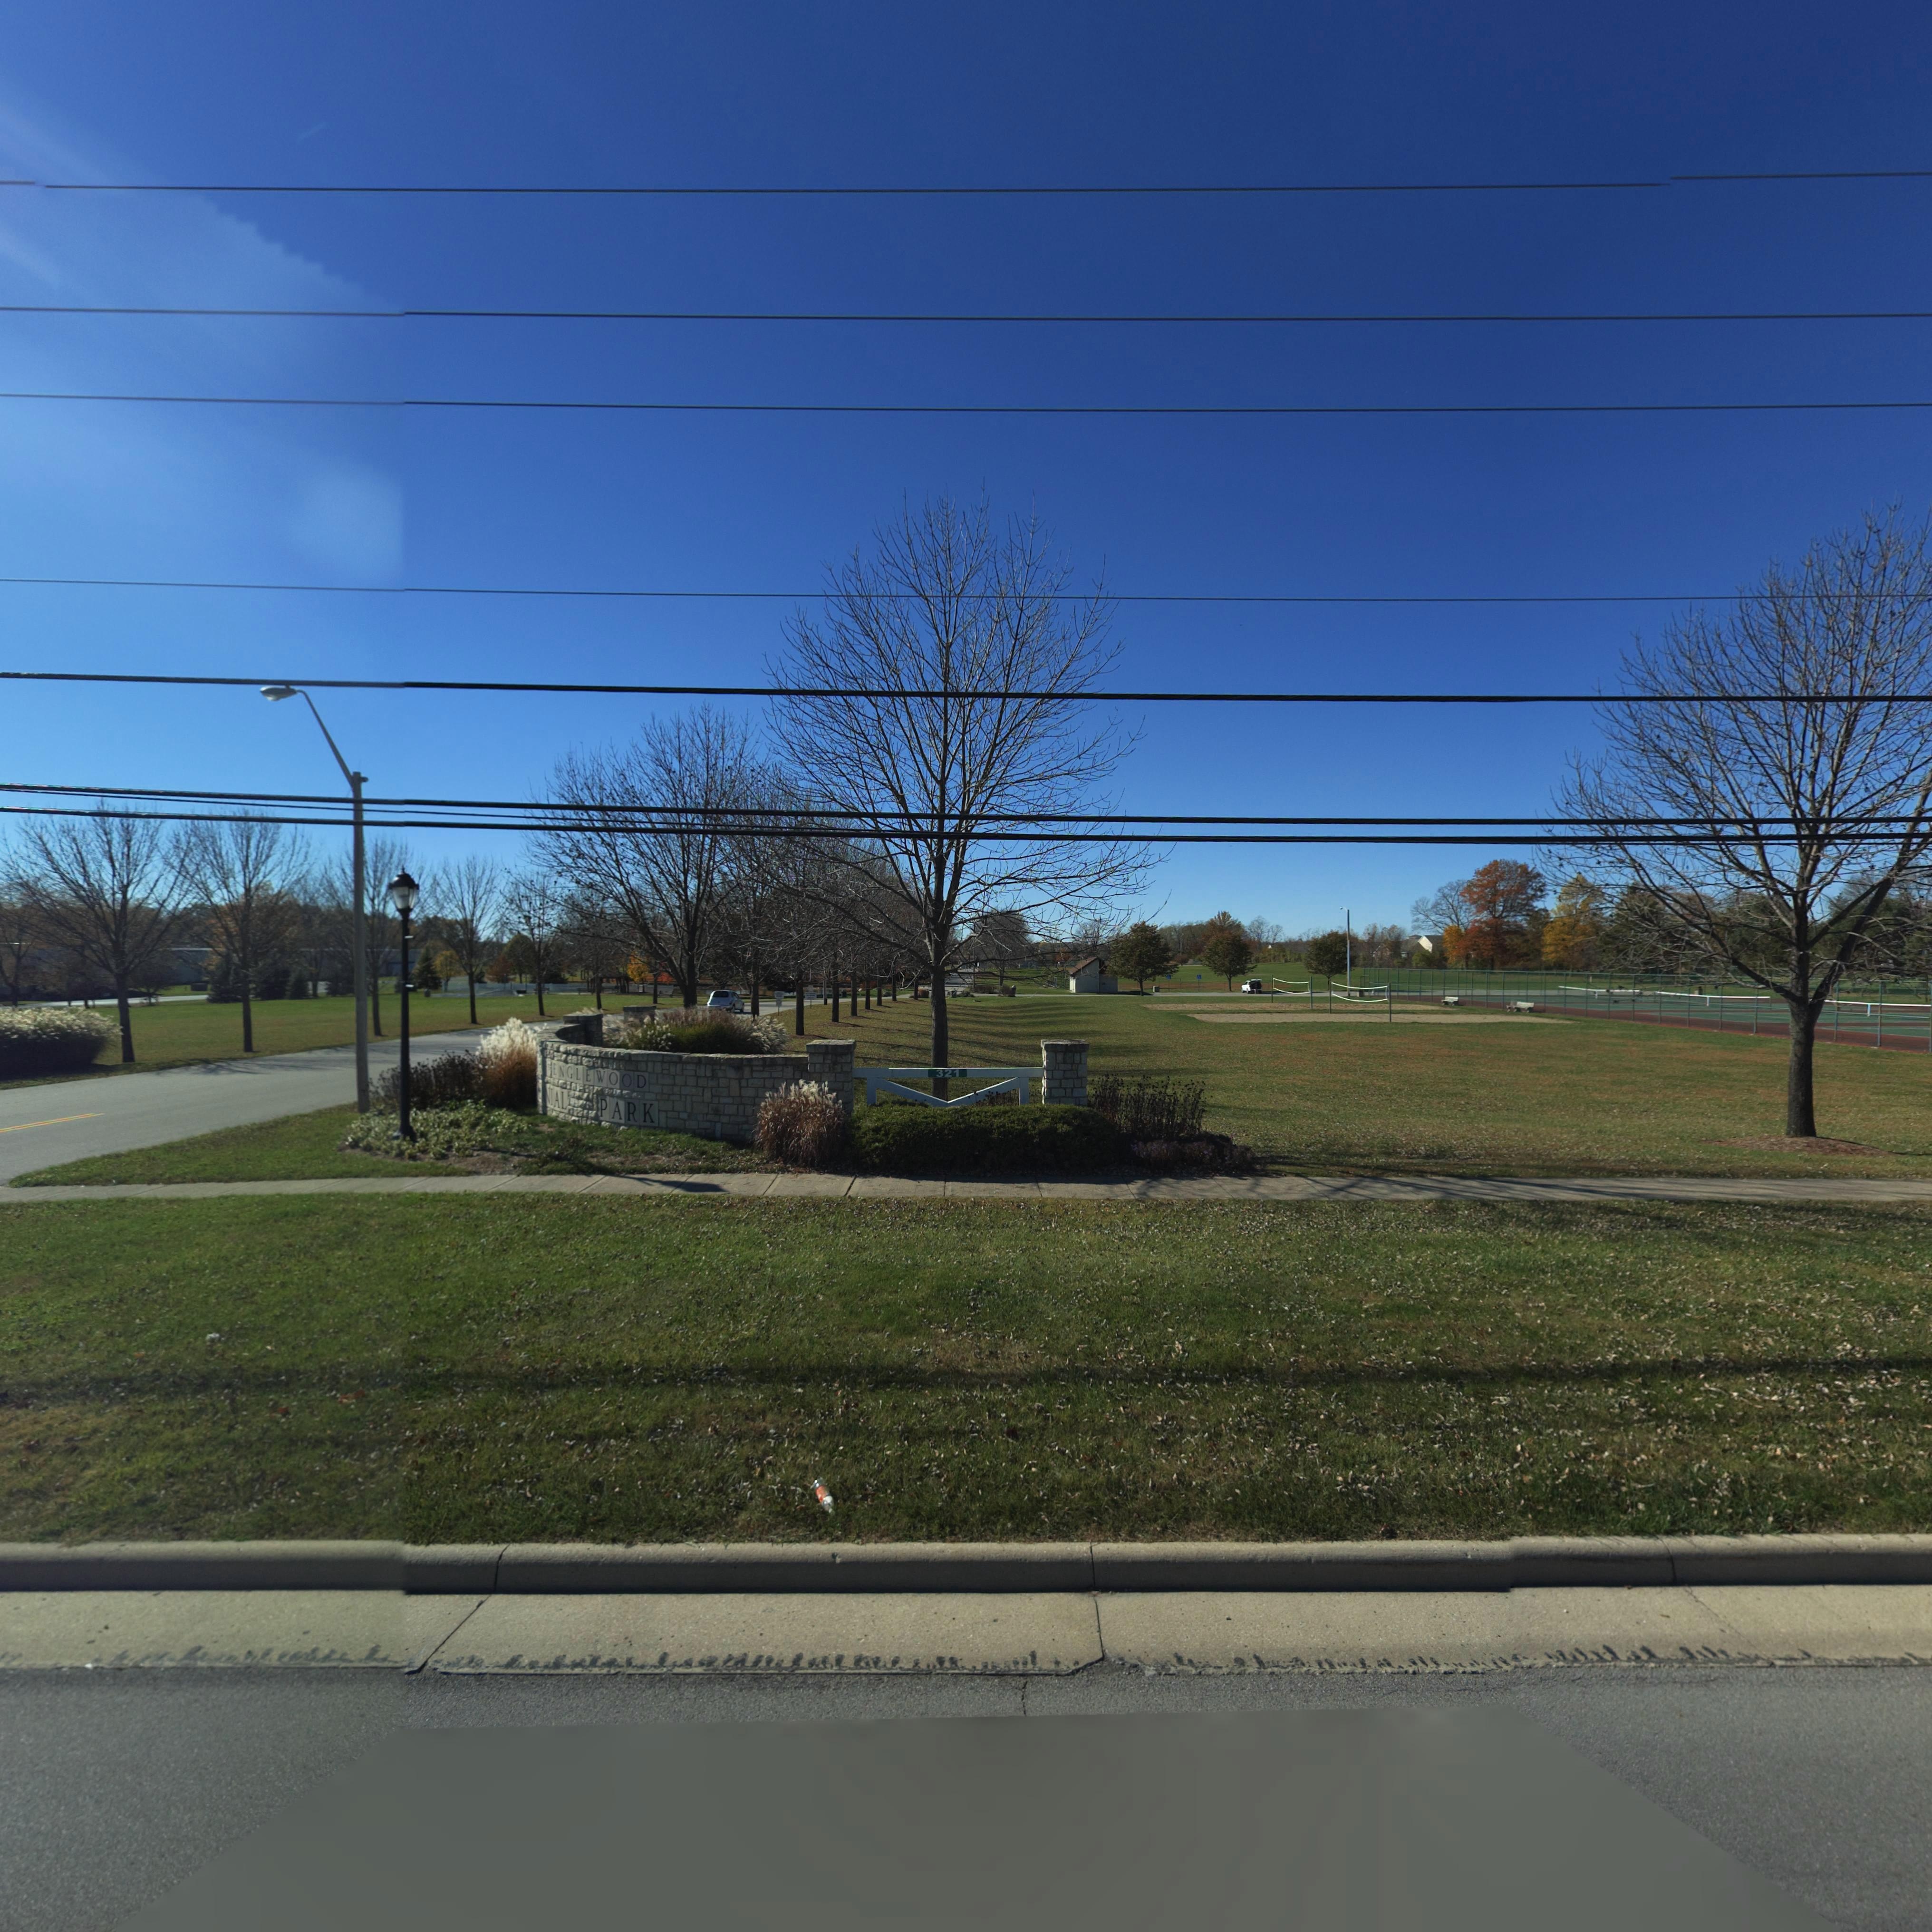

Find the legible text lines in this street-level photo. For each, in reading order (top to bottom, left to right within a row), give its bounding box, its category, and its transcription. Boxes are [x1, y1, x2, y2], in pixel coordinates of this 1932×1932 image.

[551, 1062, 647, 1091] None: ENGLEWOOD
[936, 1068, 960, 1079] StreetNumber: 321
[549, 1086, 568, 1111] None: IAL
[598, 1096, 657, 1127] None: PARK